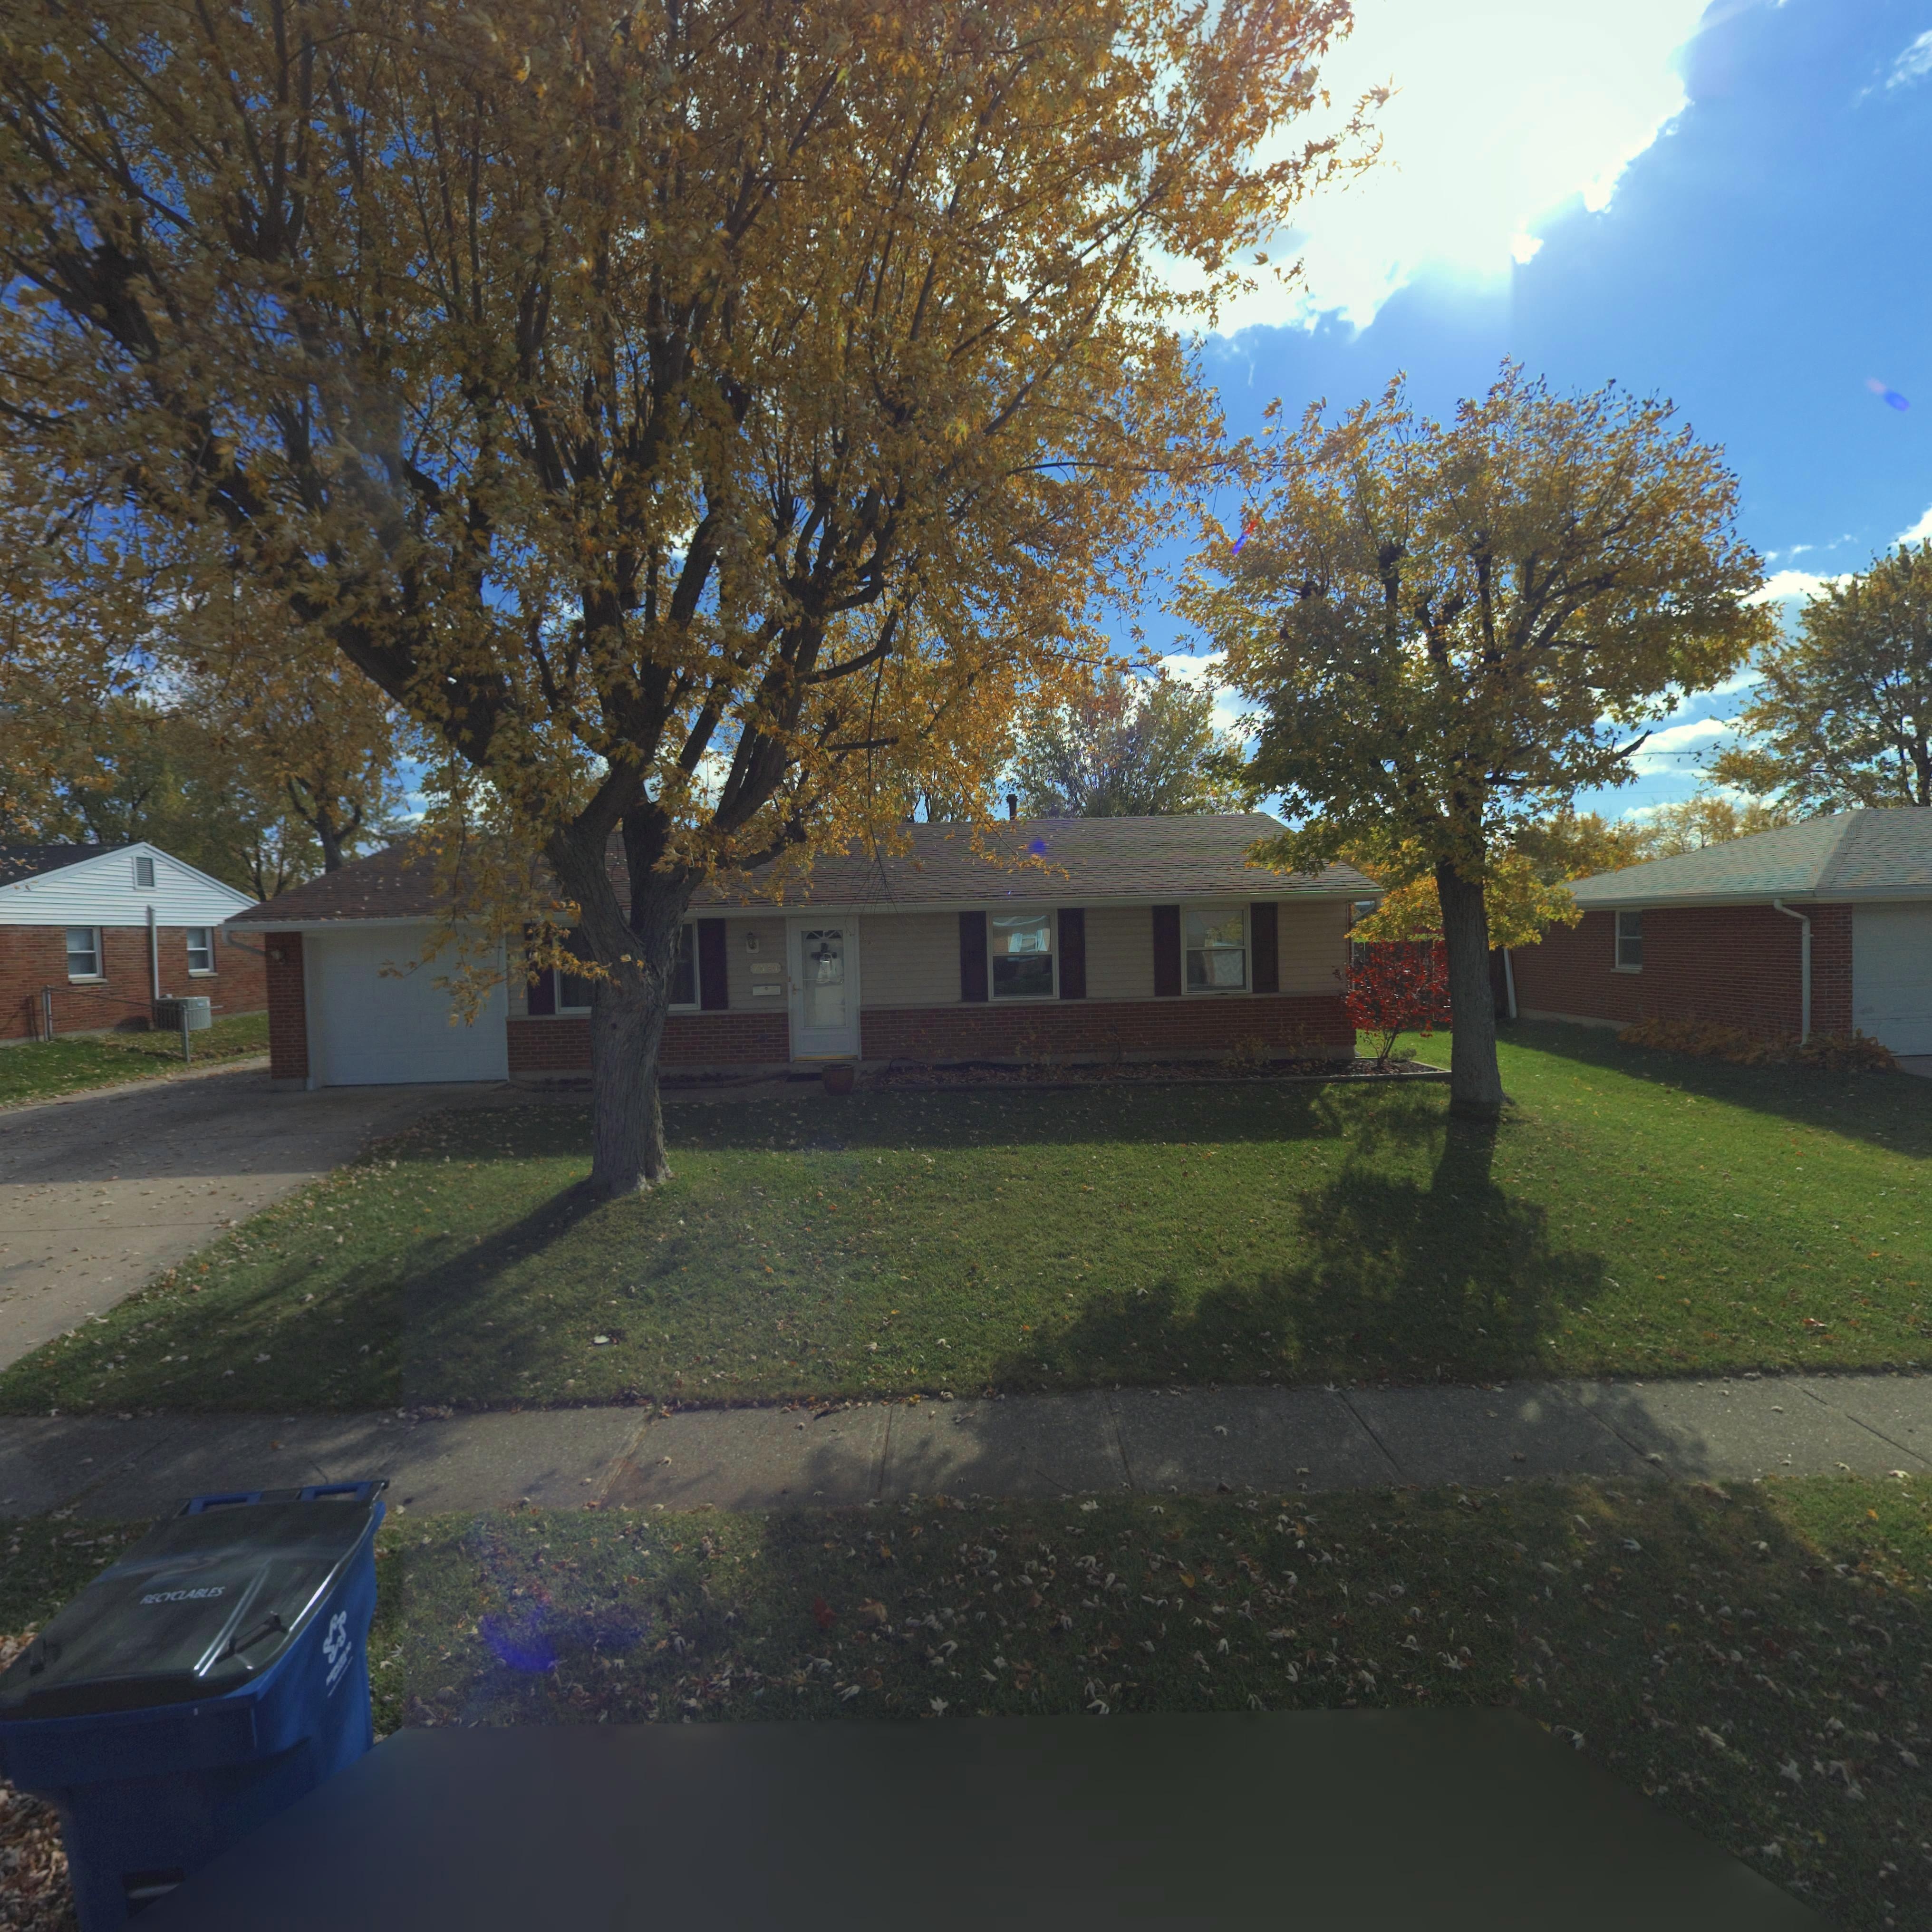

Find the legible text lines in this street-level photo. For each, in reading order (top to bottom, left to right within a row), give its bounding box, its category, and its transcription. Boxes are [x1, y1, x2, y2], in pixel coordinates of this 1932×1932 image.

[752, 963, 778, 973] StreetNumber: 7630